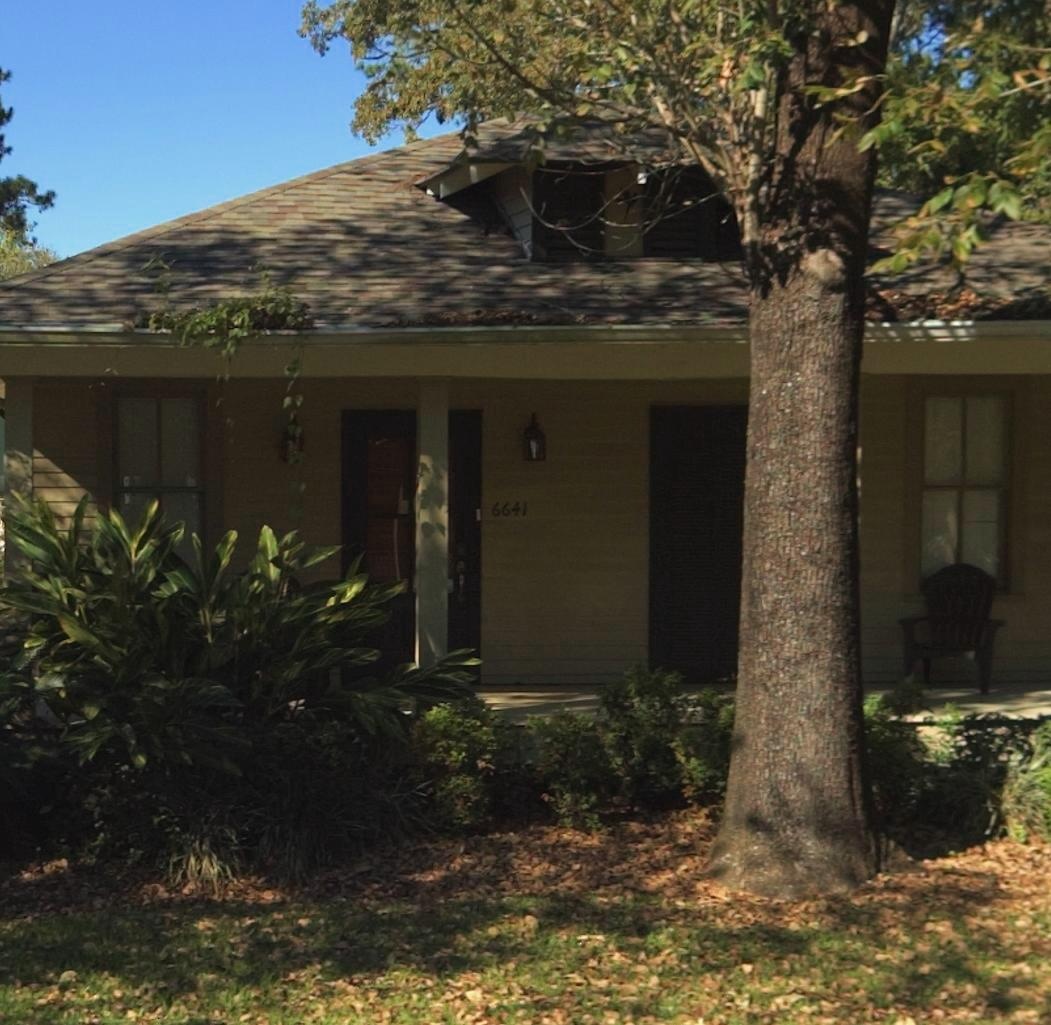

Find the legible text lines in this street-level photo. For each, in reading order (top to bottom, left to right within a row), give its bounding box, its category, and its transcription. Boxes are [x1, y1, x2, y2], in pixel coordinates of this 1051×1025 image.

[490, 500, 528, 518] StreetNumber: 6641